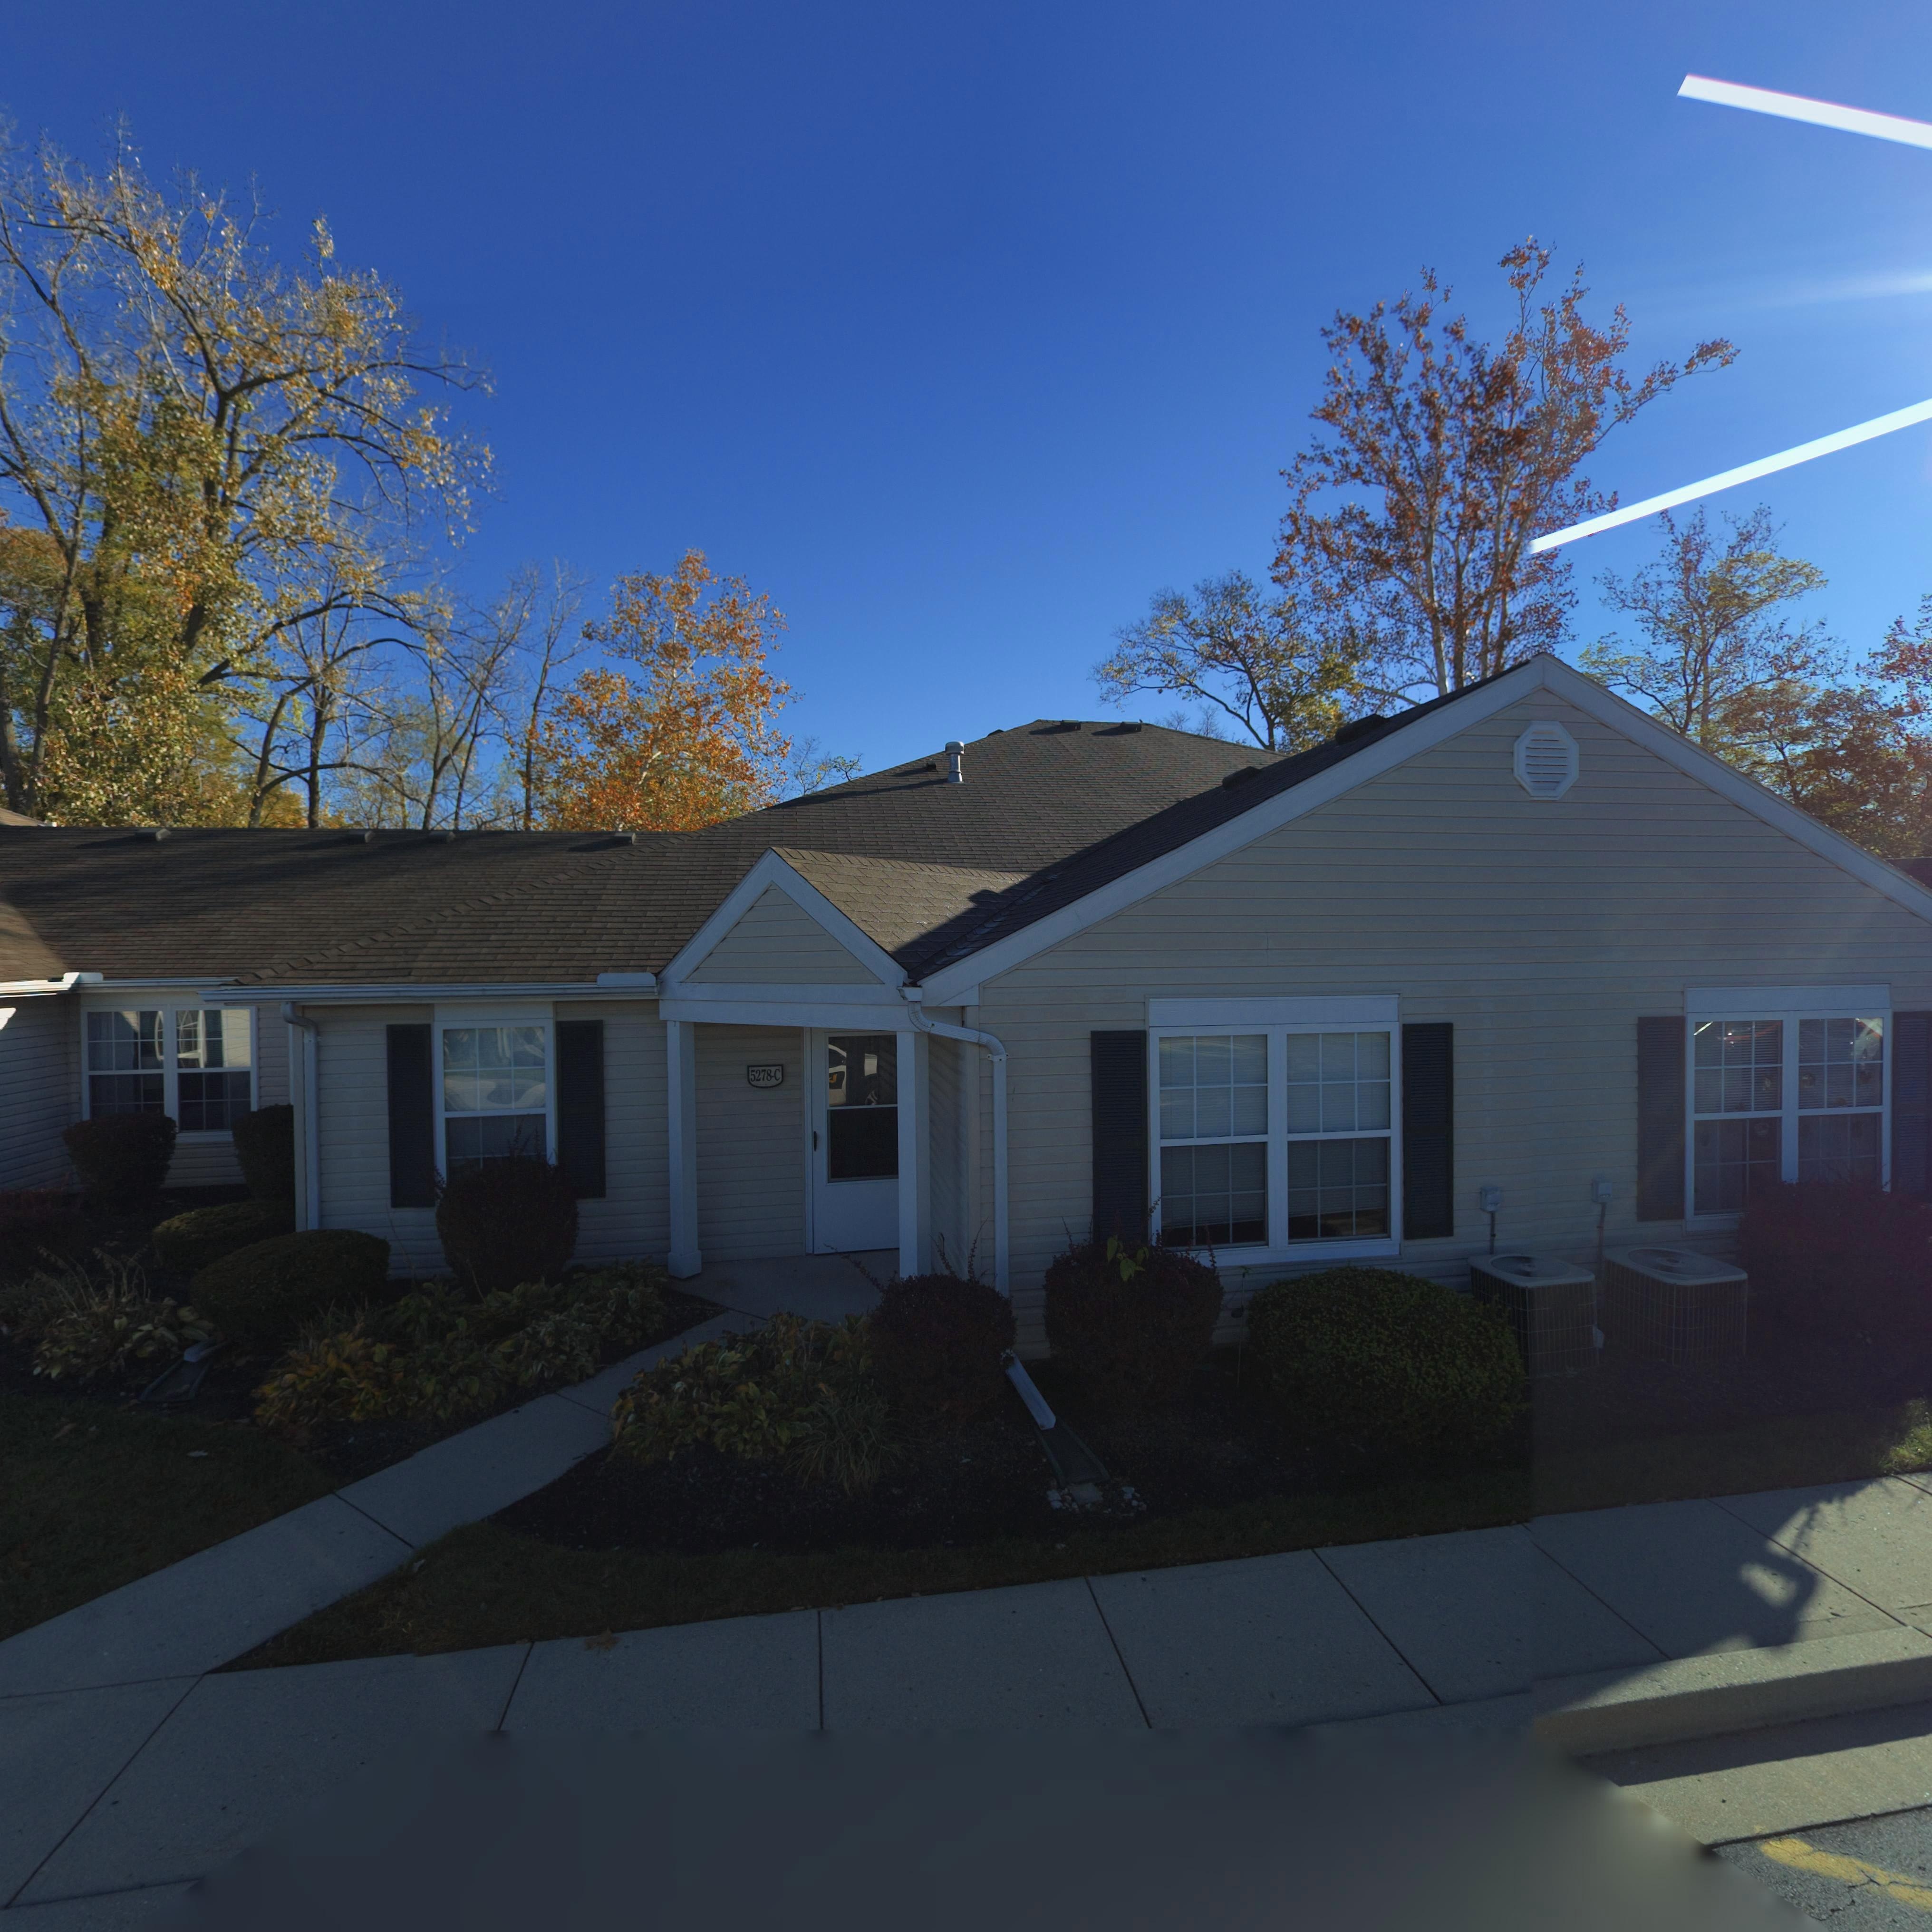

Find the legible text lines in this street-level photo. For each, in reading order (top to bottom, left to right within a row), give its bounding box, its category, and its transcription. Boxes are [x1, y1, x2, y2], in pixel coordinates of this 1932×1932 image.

[749, 1067, 781, 1083] StreetNumber: 5278-C